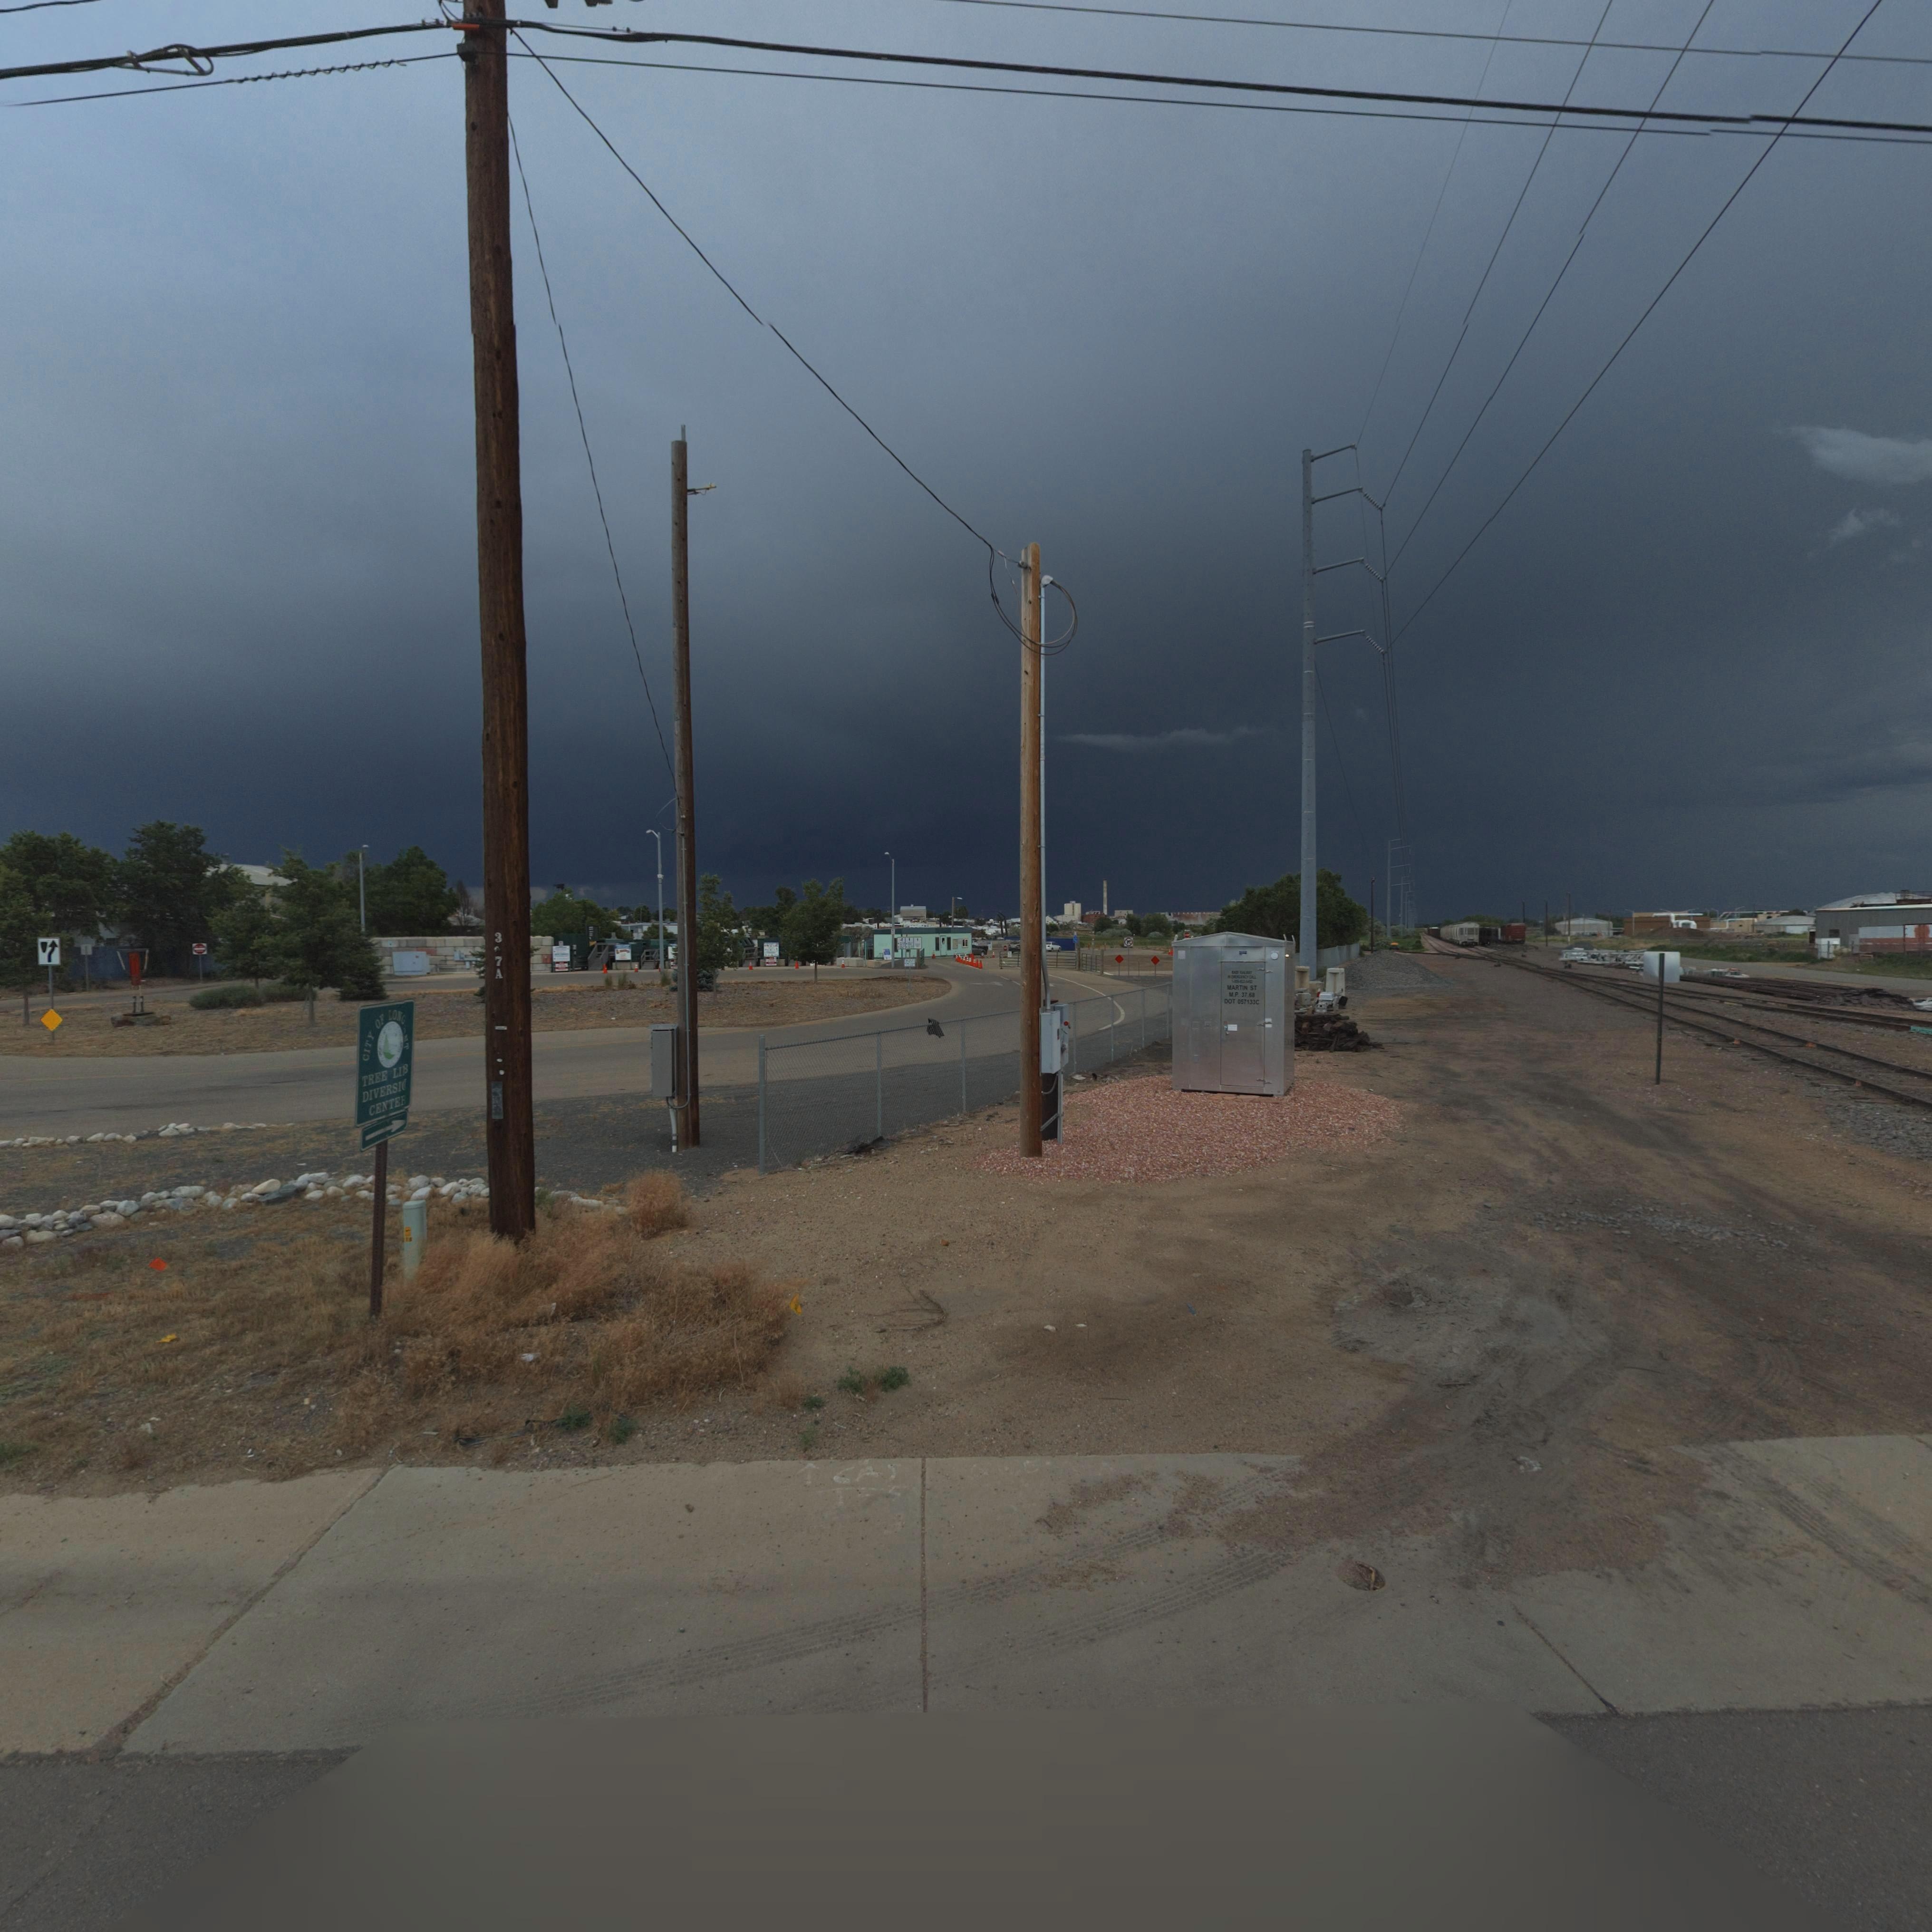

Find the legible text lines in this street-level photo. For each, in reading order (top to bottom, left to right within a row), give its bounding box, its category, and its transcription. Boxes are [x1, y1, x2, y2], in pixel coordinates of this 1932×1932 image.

[1226, 985, 1257, 991] StreetName: MARTIN ST
[362, 1063, 408, 1088] BusinessName: TREE LI*
[362, 1079, 407, 1103] BusinessName: DIVERSI**
[368, 1094, 406, 1116] BusinessName: CENTER